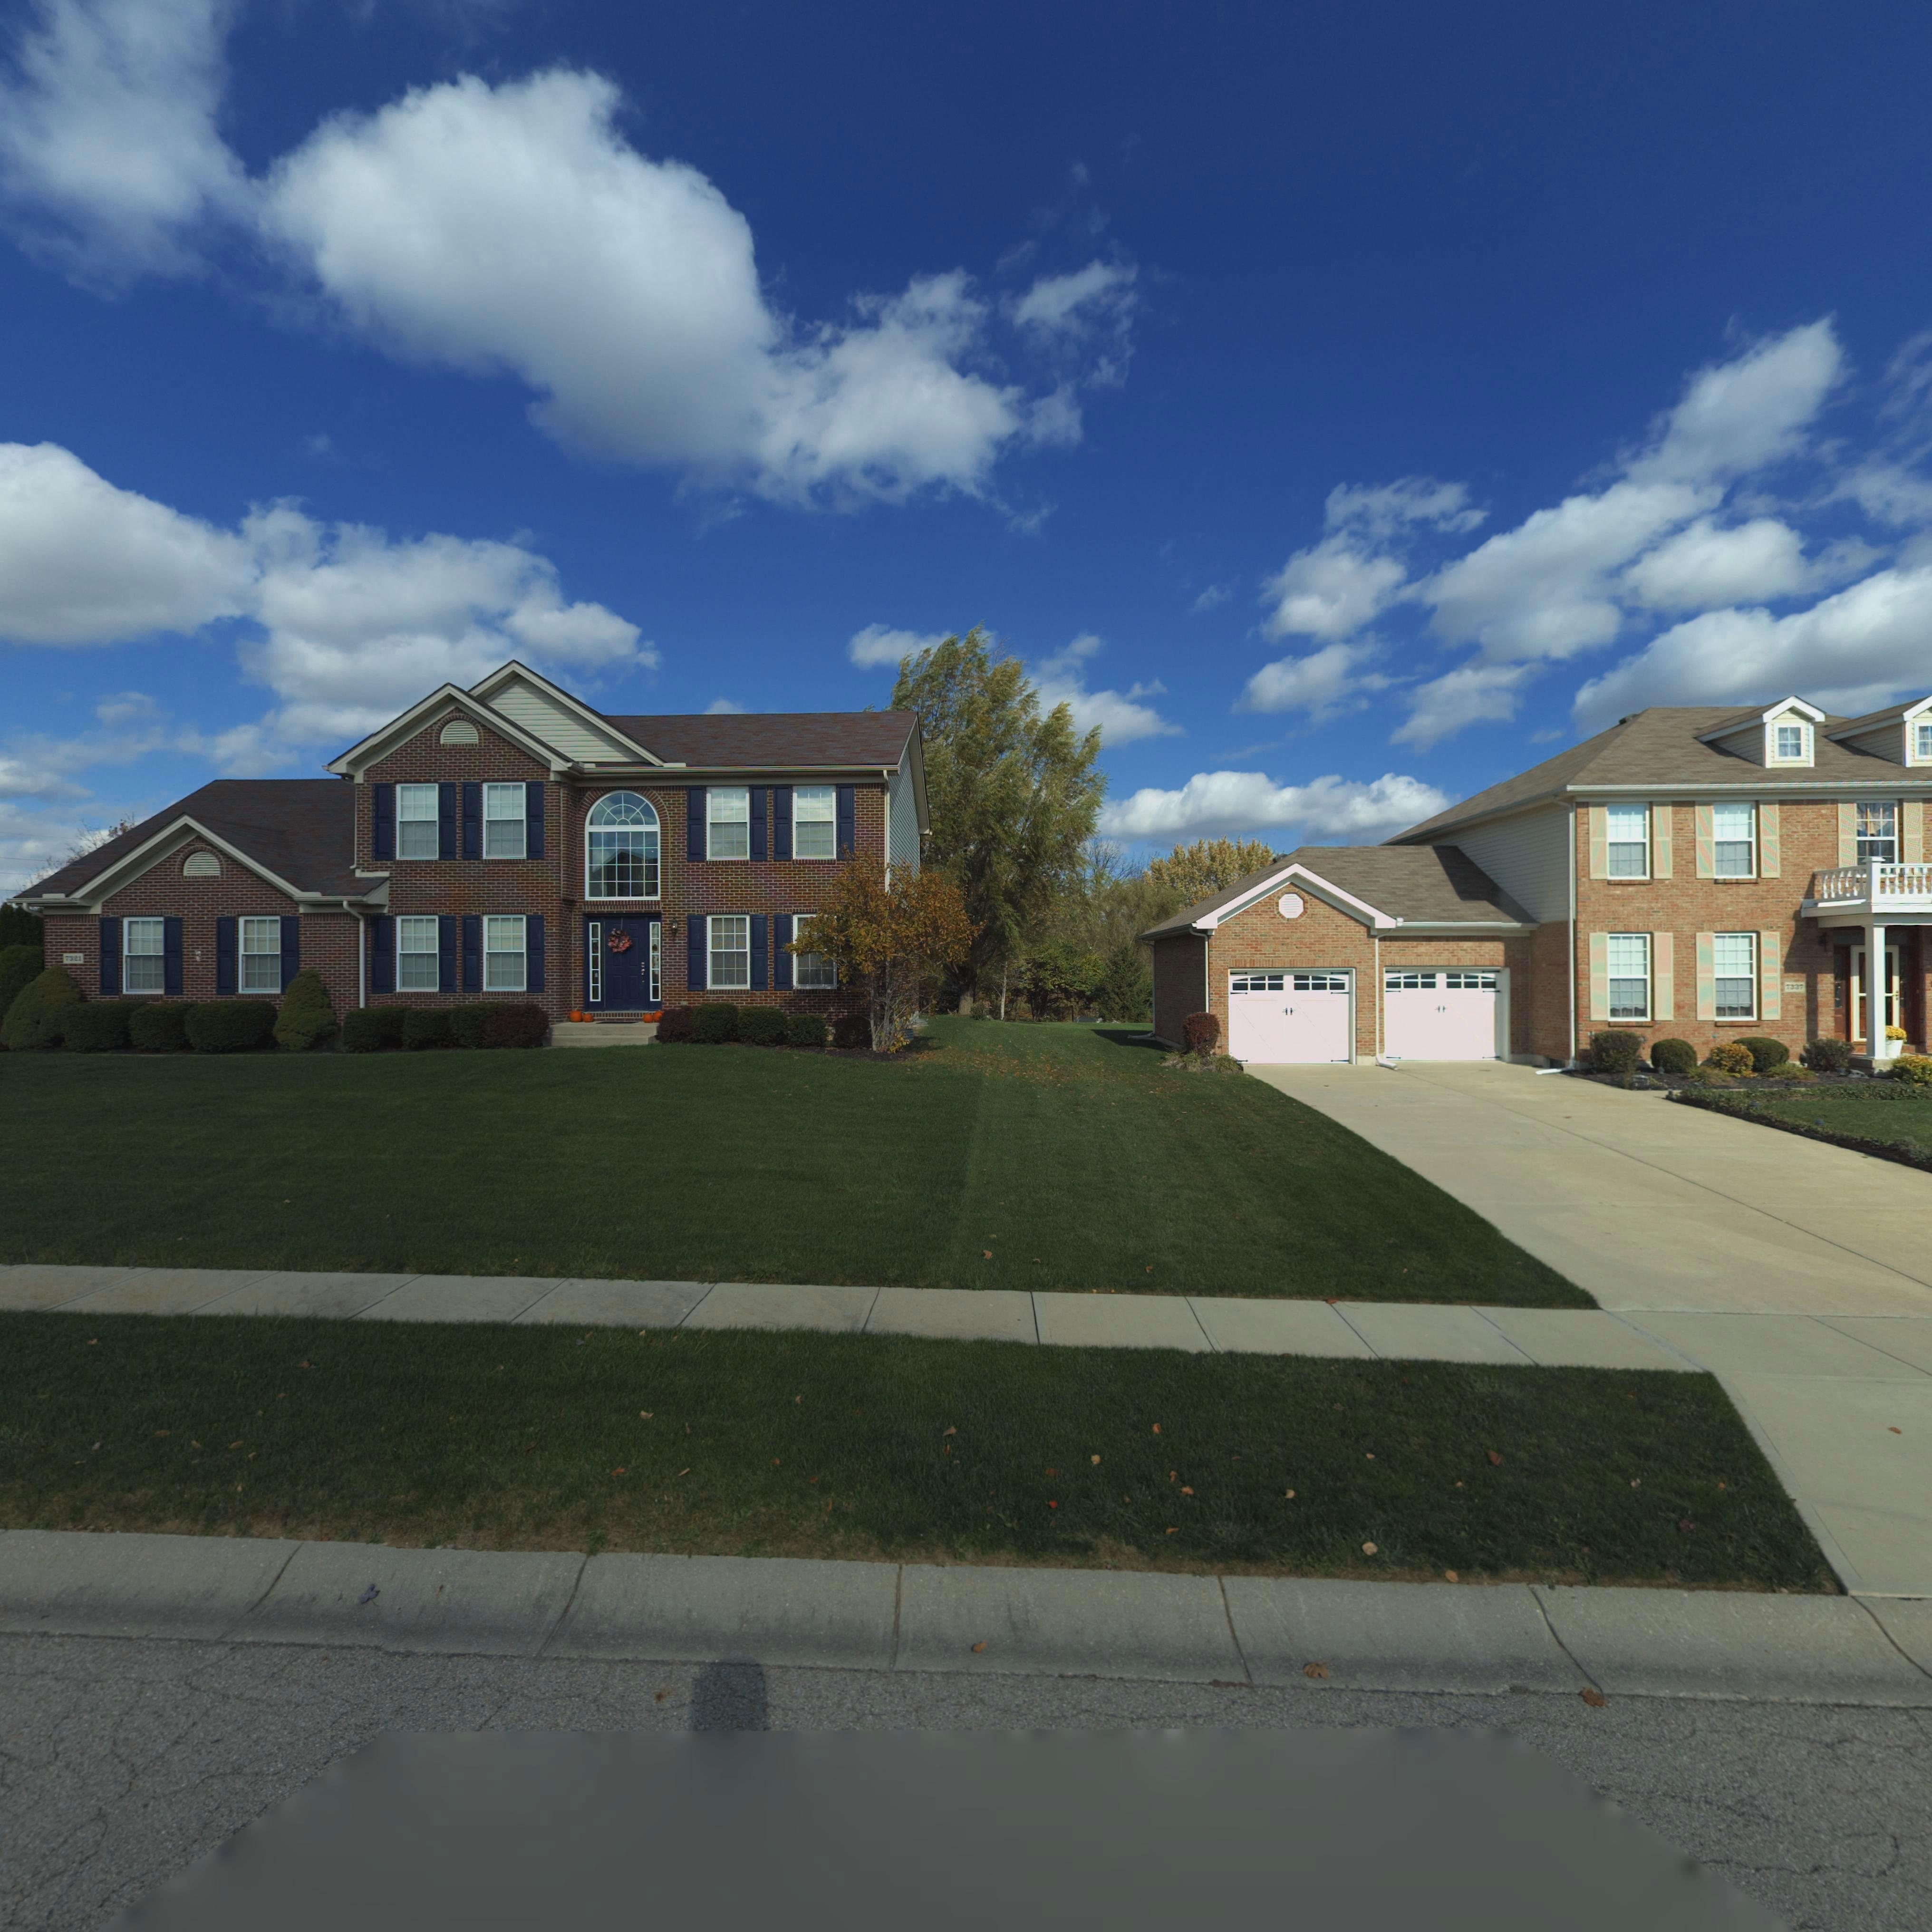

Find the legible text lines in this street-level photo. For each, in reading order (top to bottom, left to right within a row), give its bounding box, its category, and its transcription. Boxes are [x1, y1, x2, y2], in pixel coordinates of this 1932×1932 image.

[64, 955, 82, 962] StreetNumber: 7321
[1785, 984, 1805, 990] StreetNumber: 7337